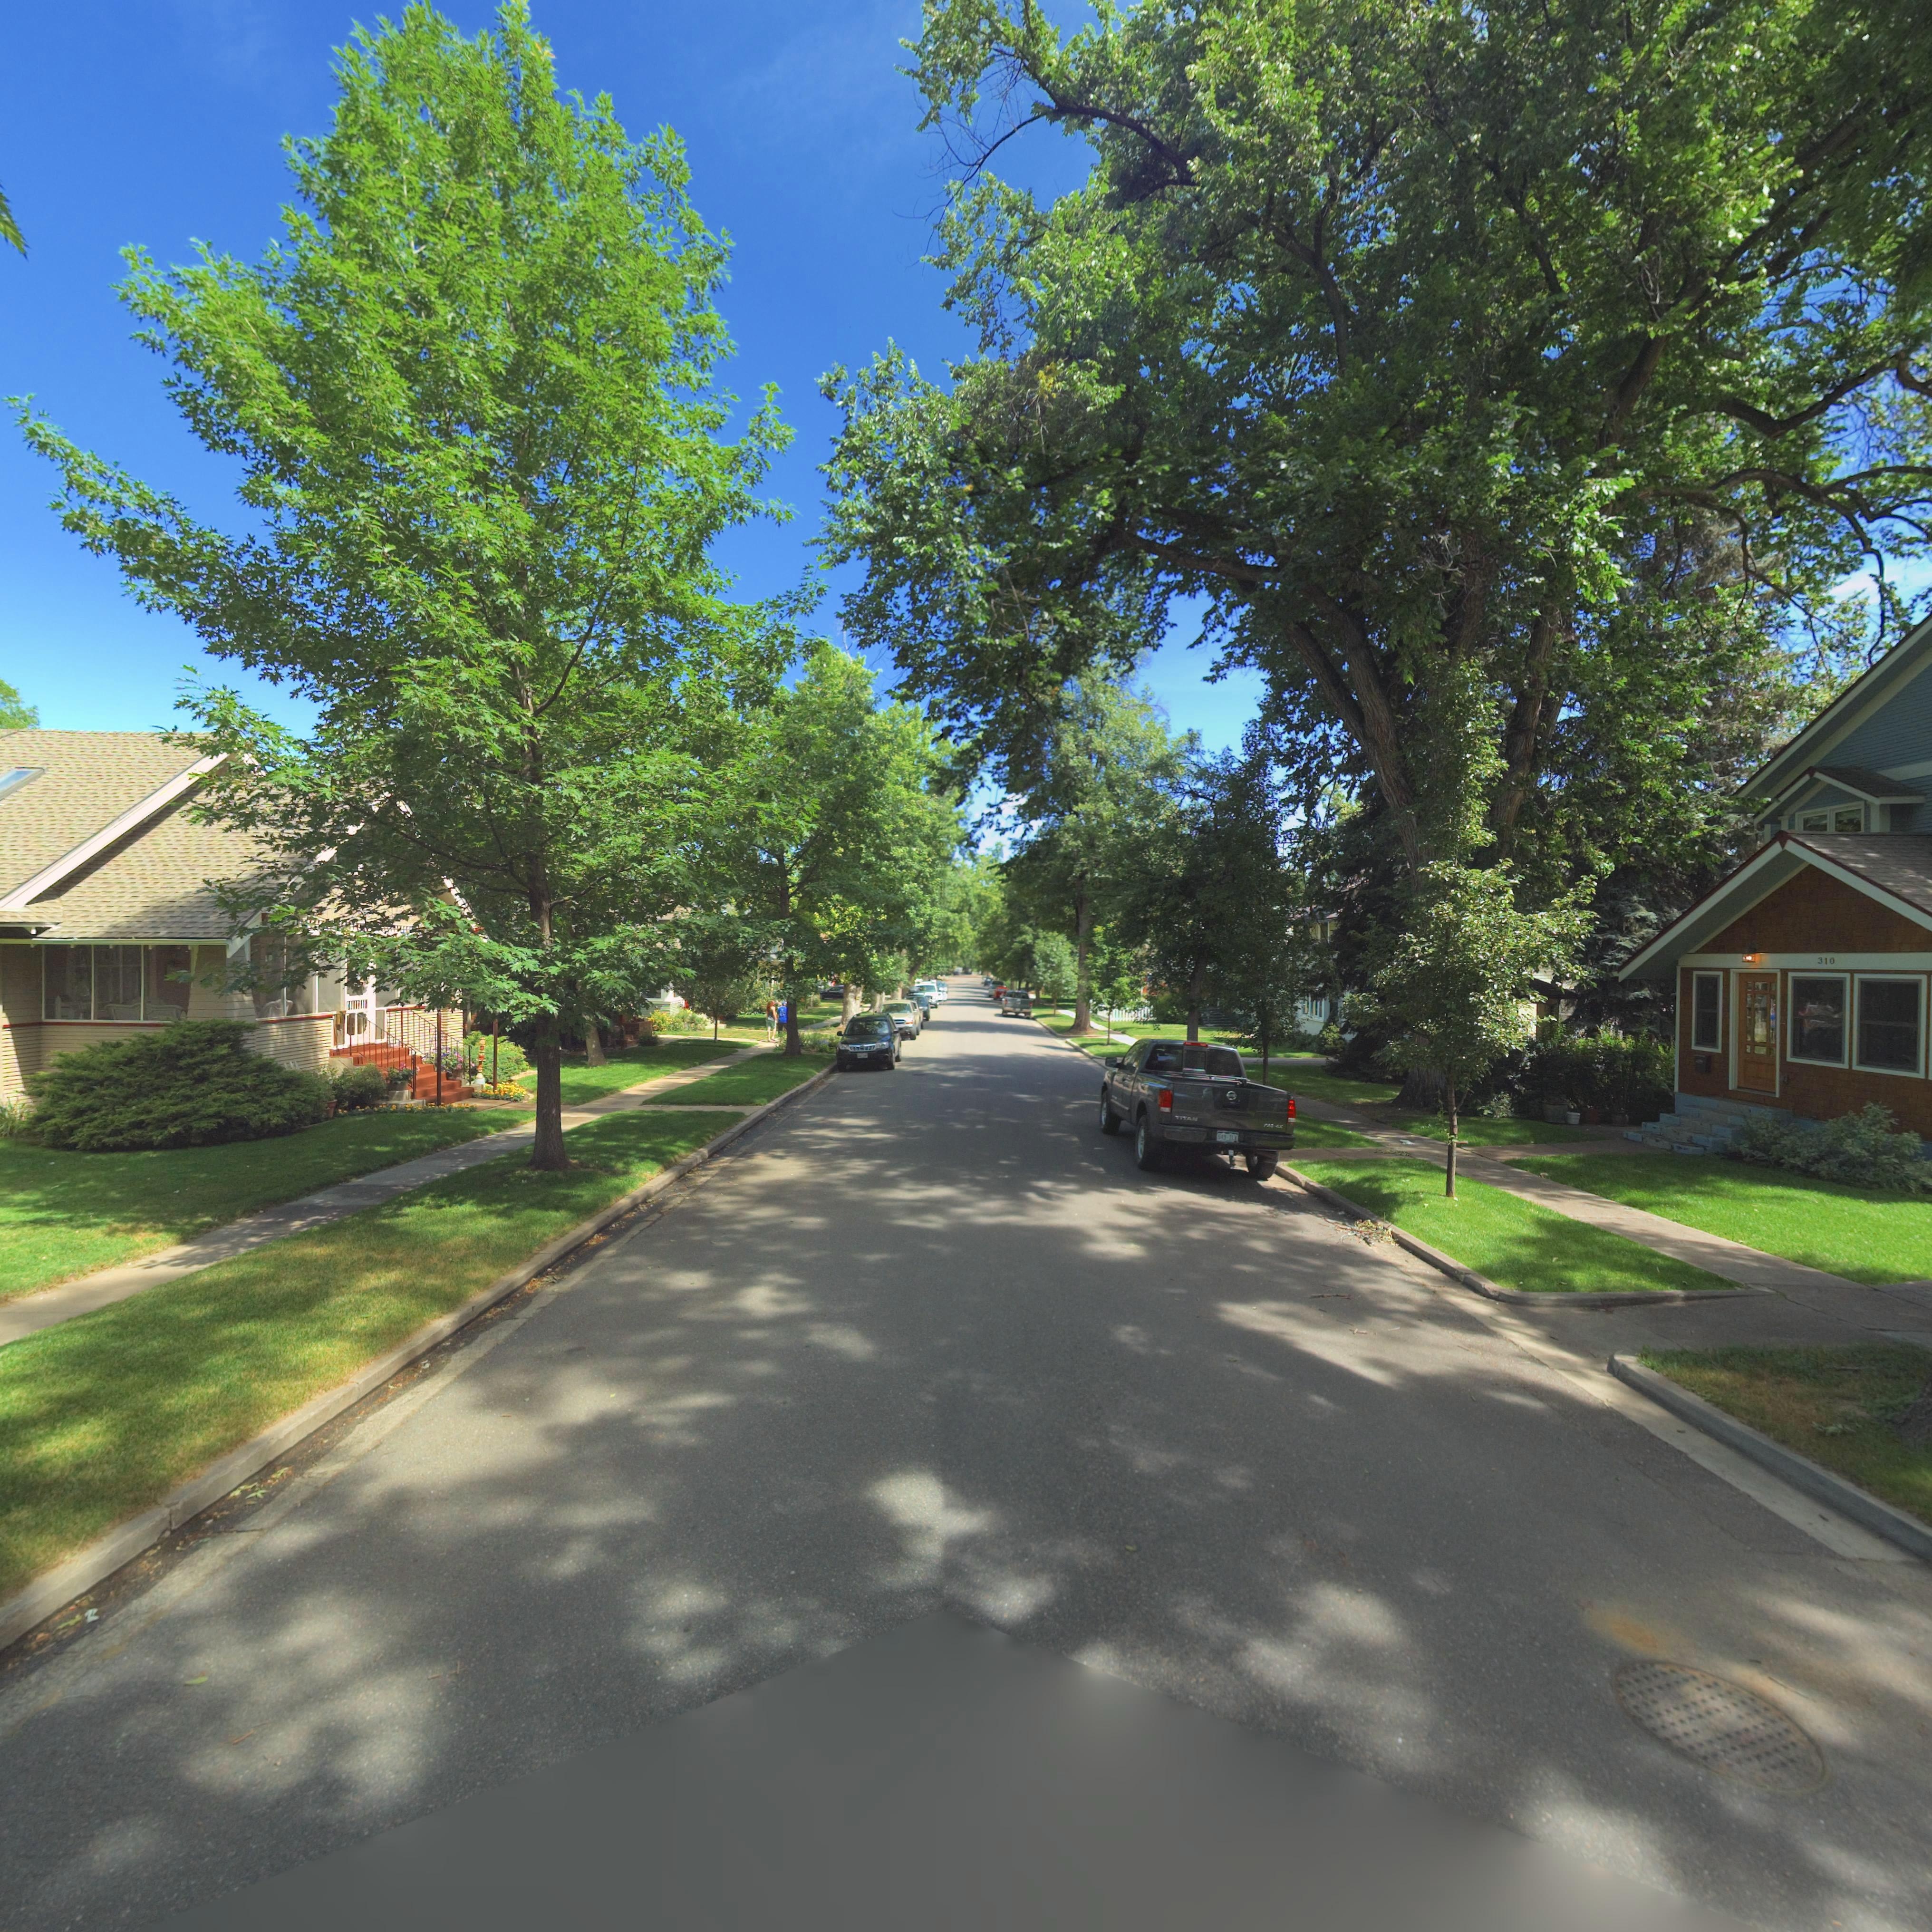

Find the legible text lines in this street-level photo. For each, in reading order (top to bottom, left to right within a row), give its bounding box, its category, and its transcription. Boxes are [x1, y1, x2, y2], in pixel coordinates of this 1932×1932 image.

[1817, 957, 1834, 964] StreetNumber: 310